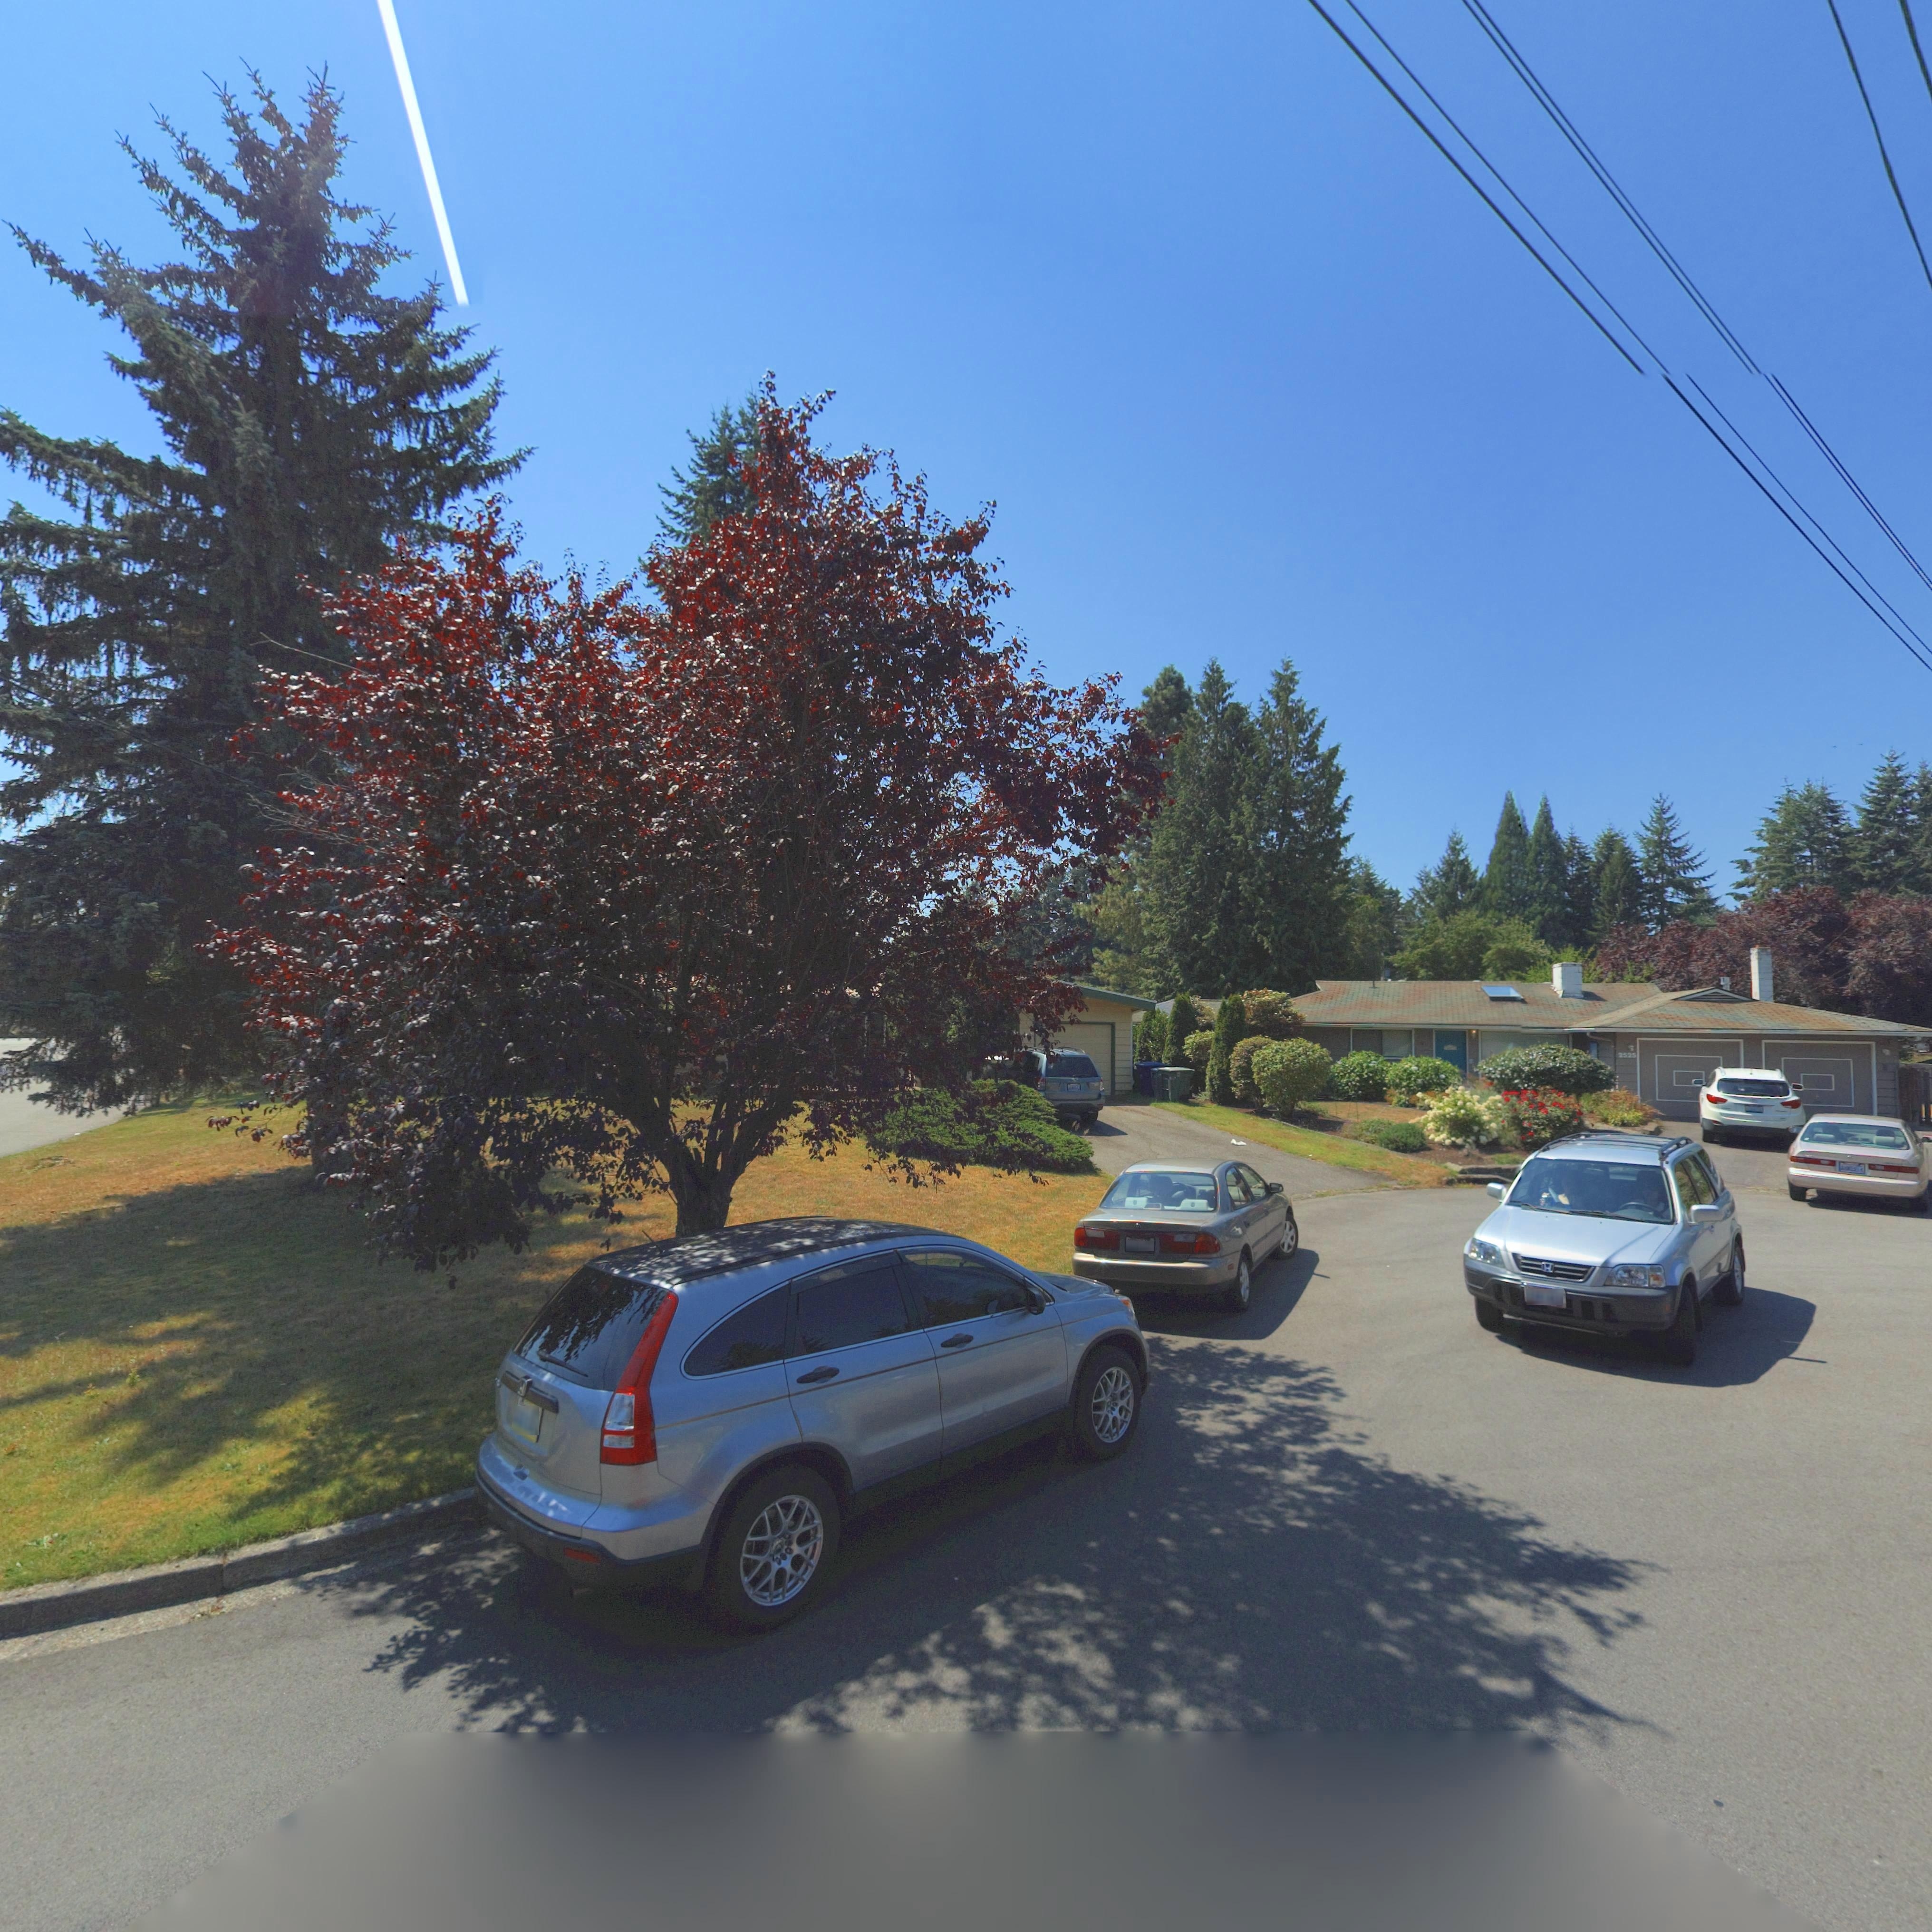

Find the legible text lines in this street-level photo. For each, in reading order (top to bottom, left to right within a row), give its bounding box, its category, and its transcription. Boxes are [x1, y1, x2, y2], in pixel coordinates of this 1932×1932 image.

[1618, 1052, 1636, 1058] StreetNumber: 2525